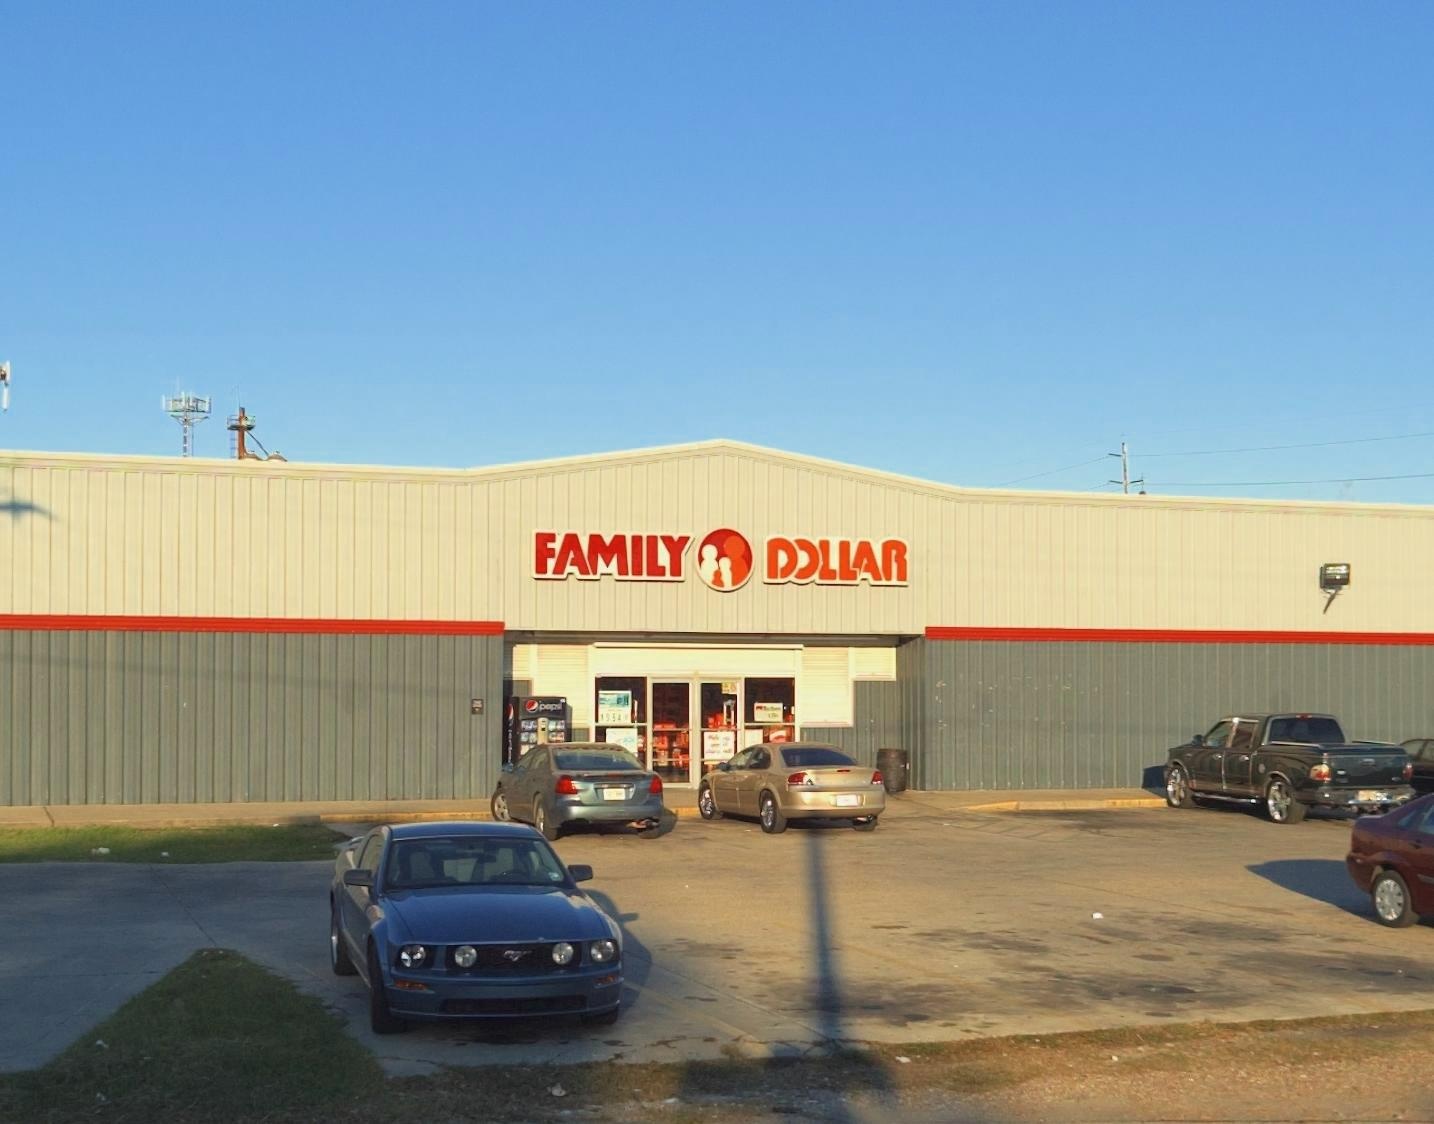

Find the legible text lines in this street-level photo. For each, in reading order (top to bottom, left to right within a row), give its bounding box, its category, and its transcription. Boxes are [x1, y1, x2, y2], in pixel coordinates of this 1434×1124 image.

[529, 526, 910, 591] BusinessName: FAMILY DOLLAR
[538, 702, 563, 713] None: pepsi